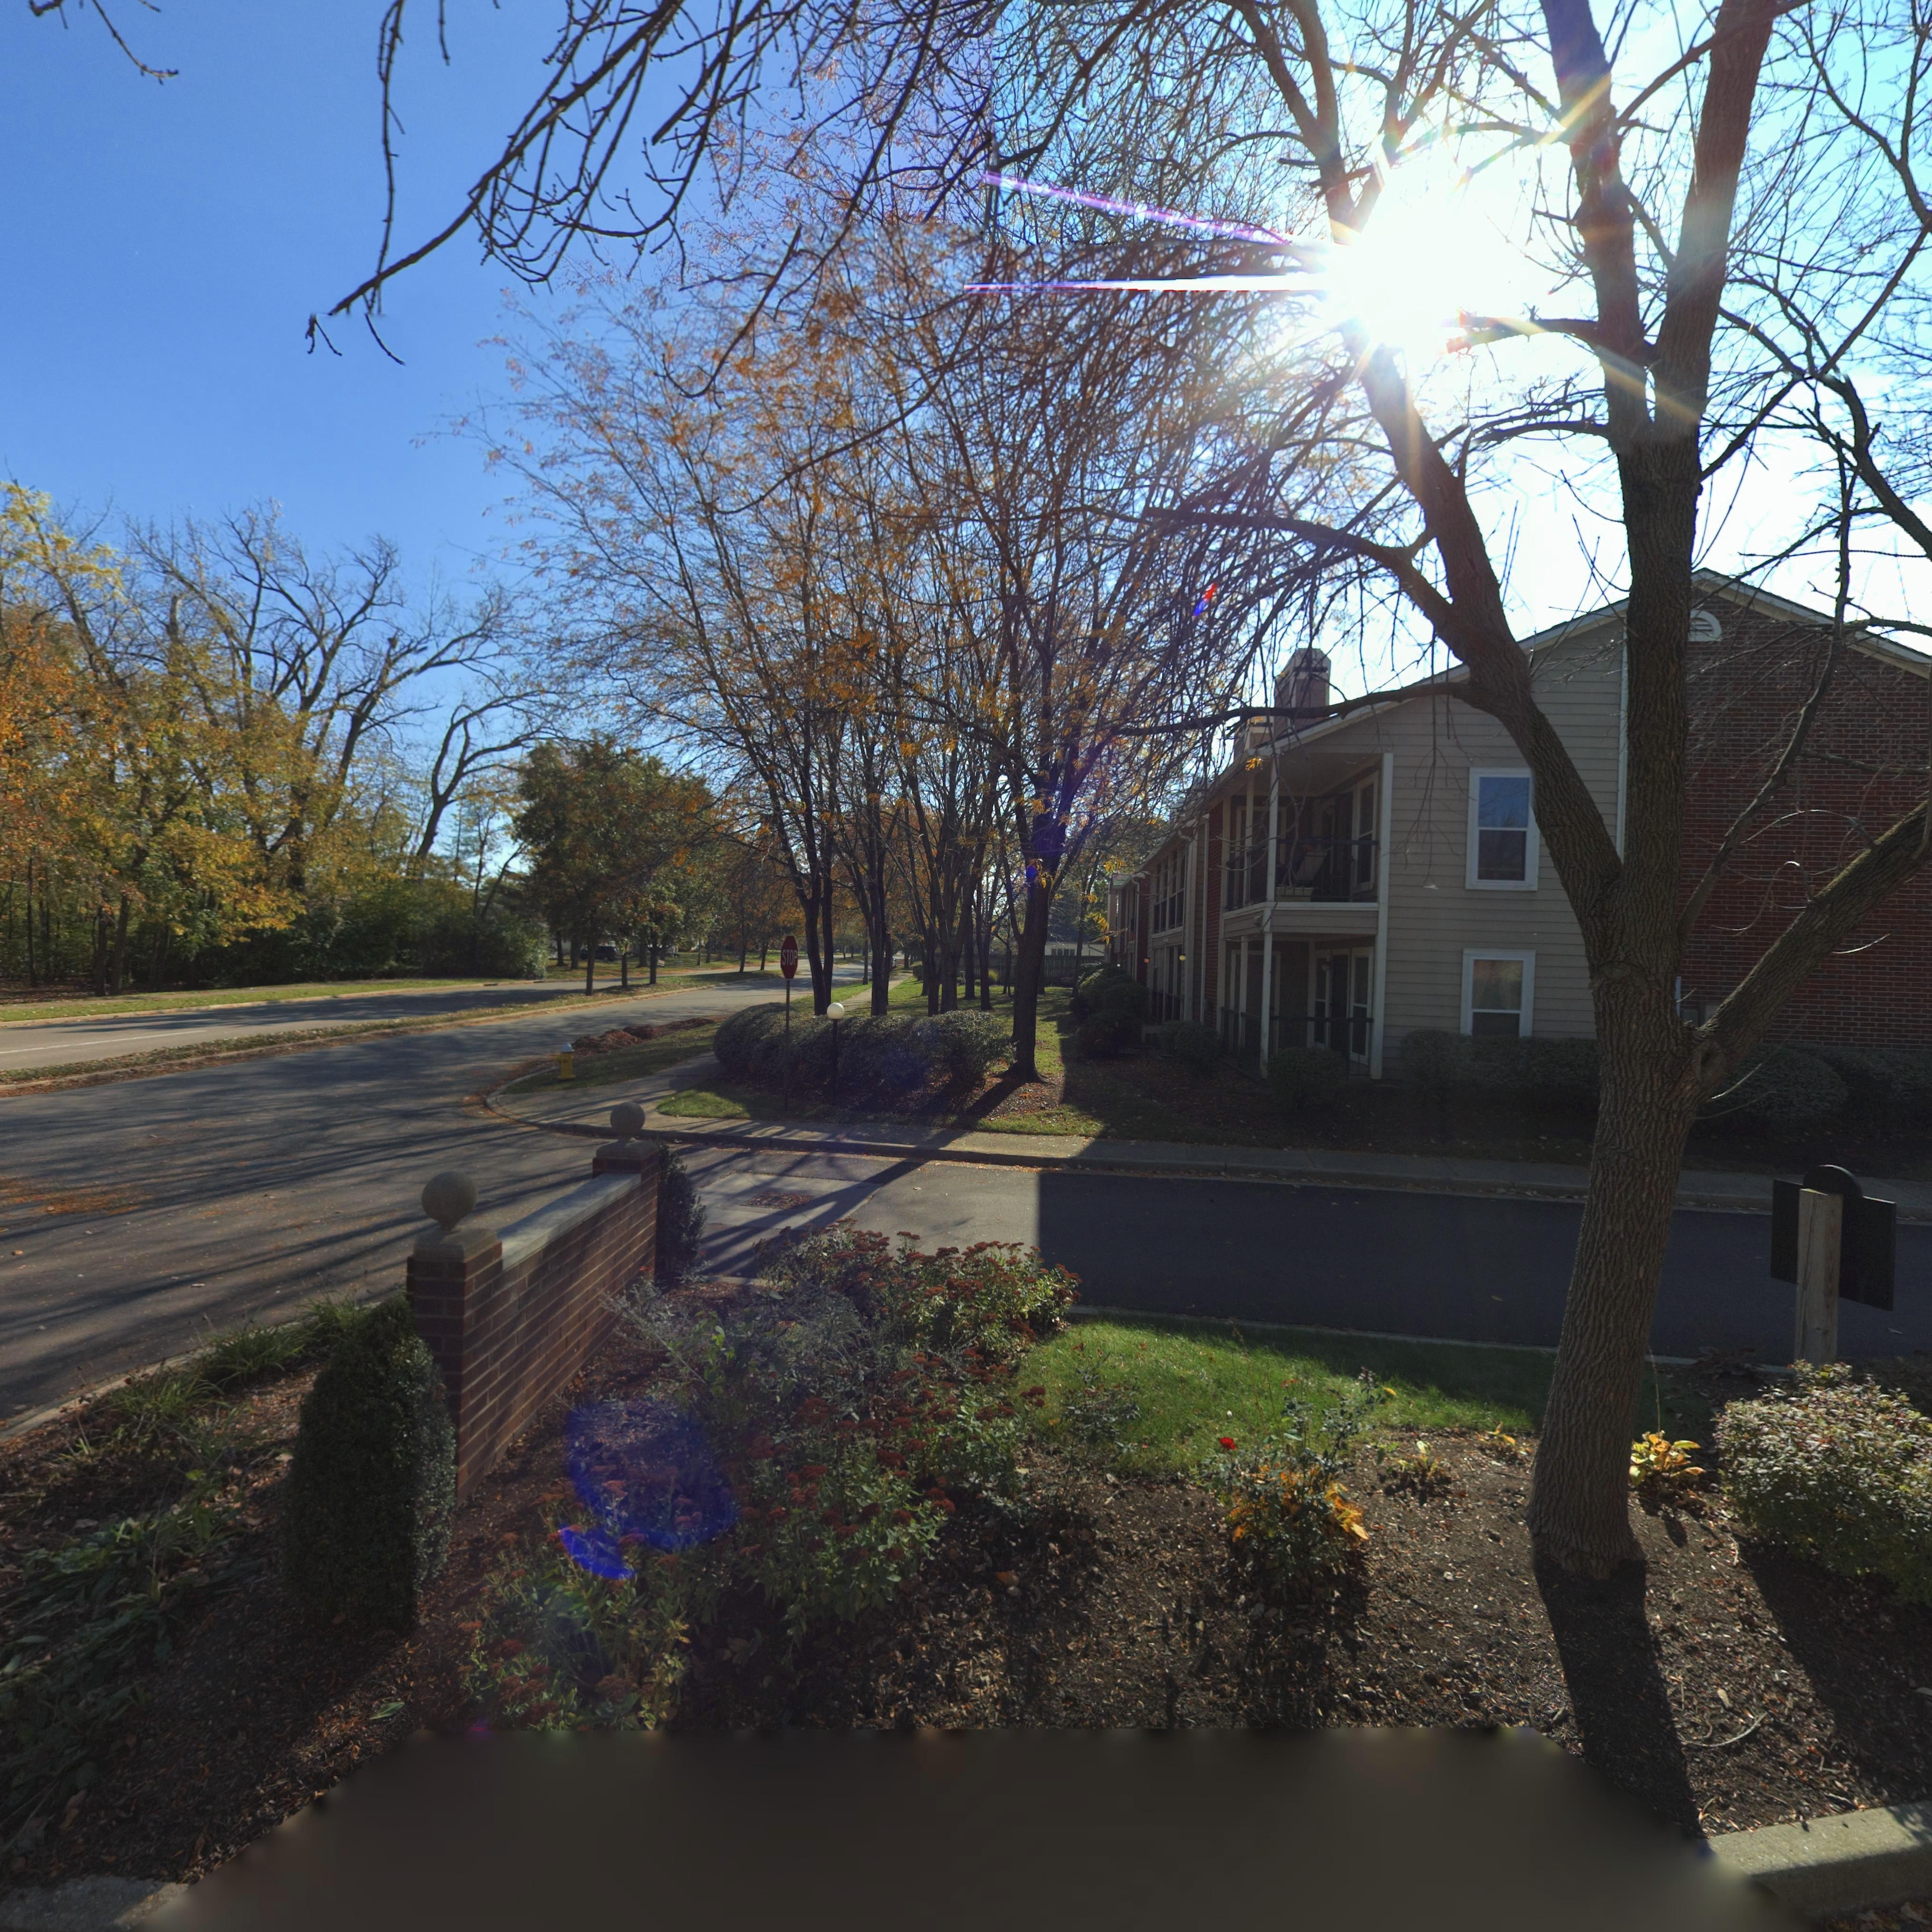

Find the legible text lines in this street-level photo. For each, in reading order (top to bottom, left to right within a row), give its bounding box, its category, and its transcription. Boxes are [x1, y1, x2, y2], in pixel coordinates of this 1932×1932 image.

[781, 948, 798, 966] None: STOP